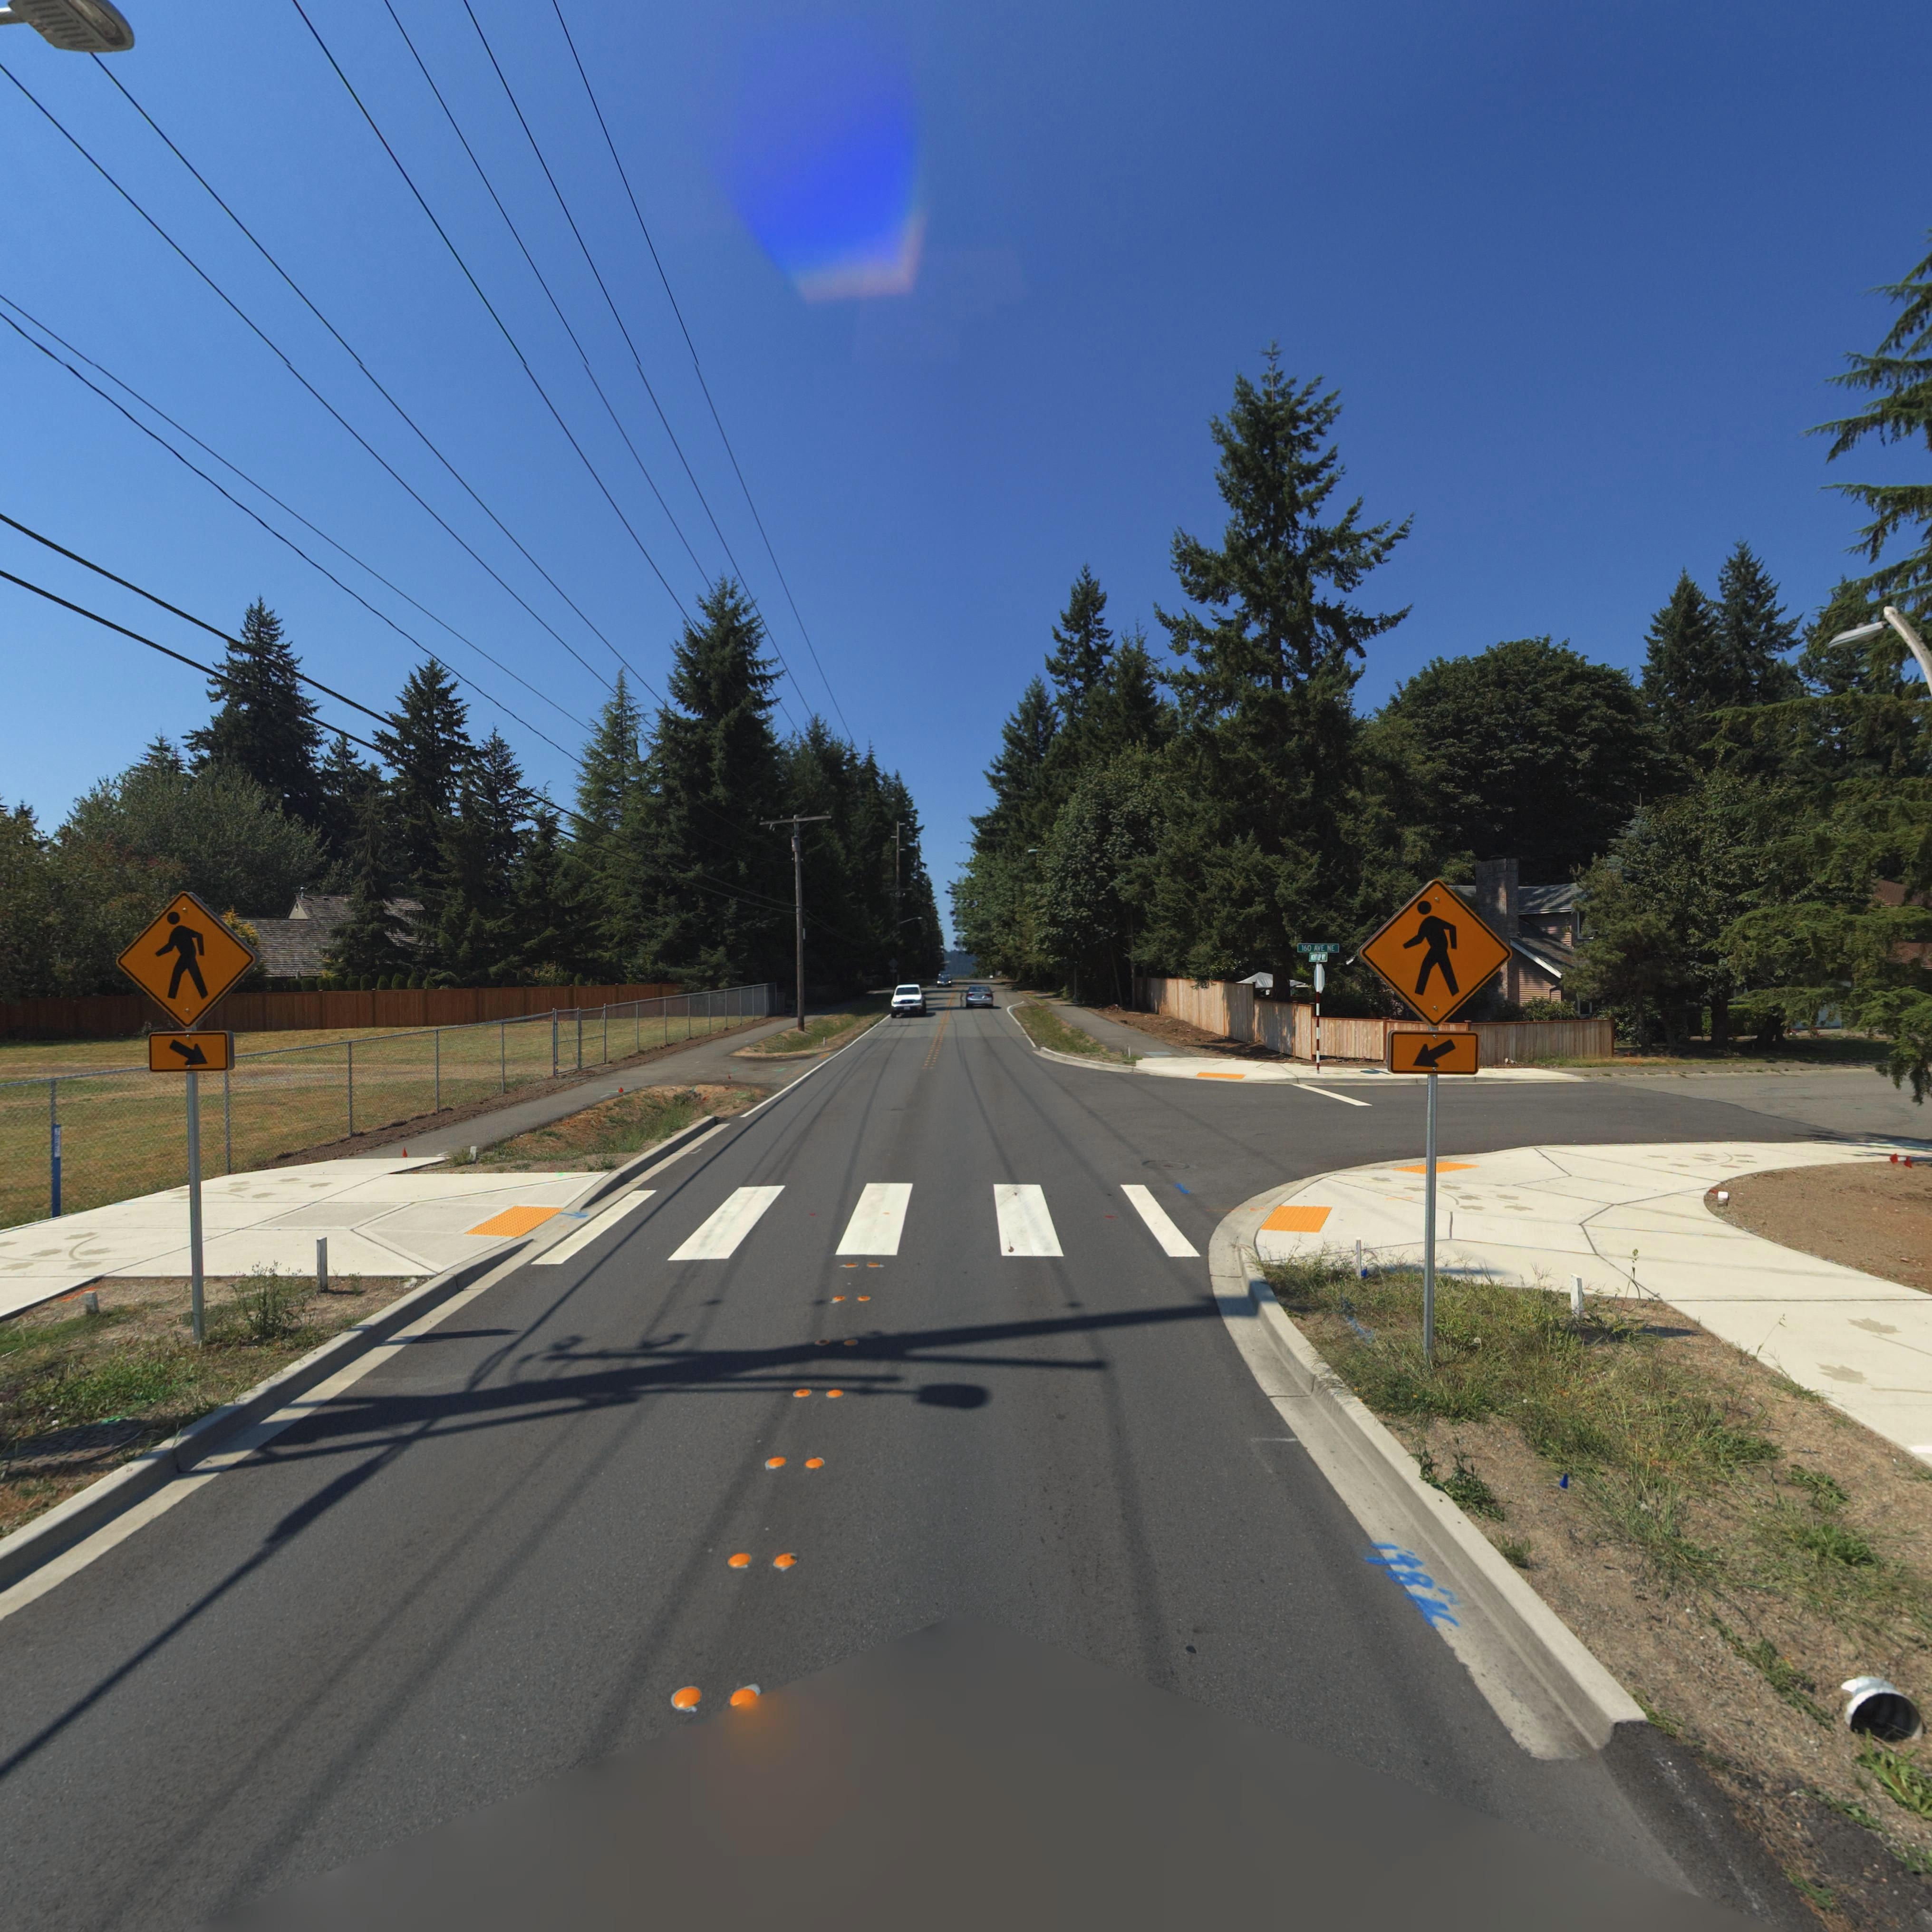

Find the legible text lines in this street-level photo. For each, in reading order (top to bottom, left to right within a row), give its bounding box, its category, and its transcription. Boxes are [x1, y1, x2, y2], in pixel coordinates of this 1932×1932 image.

[1302, 945, 1334, 951] StreetName: 160 AVE NE